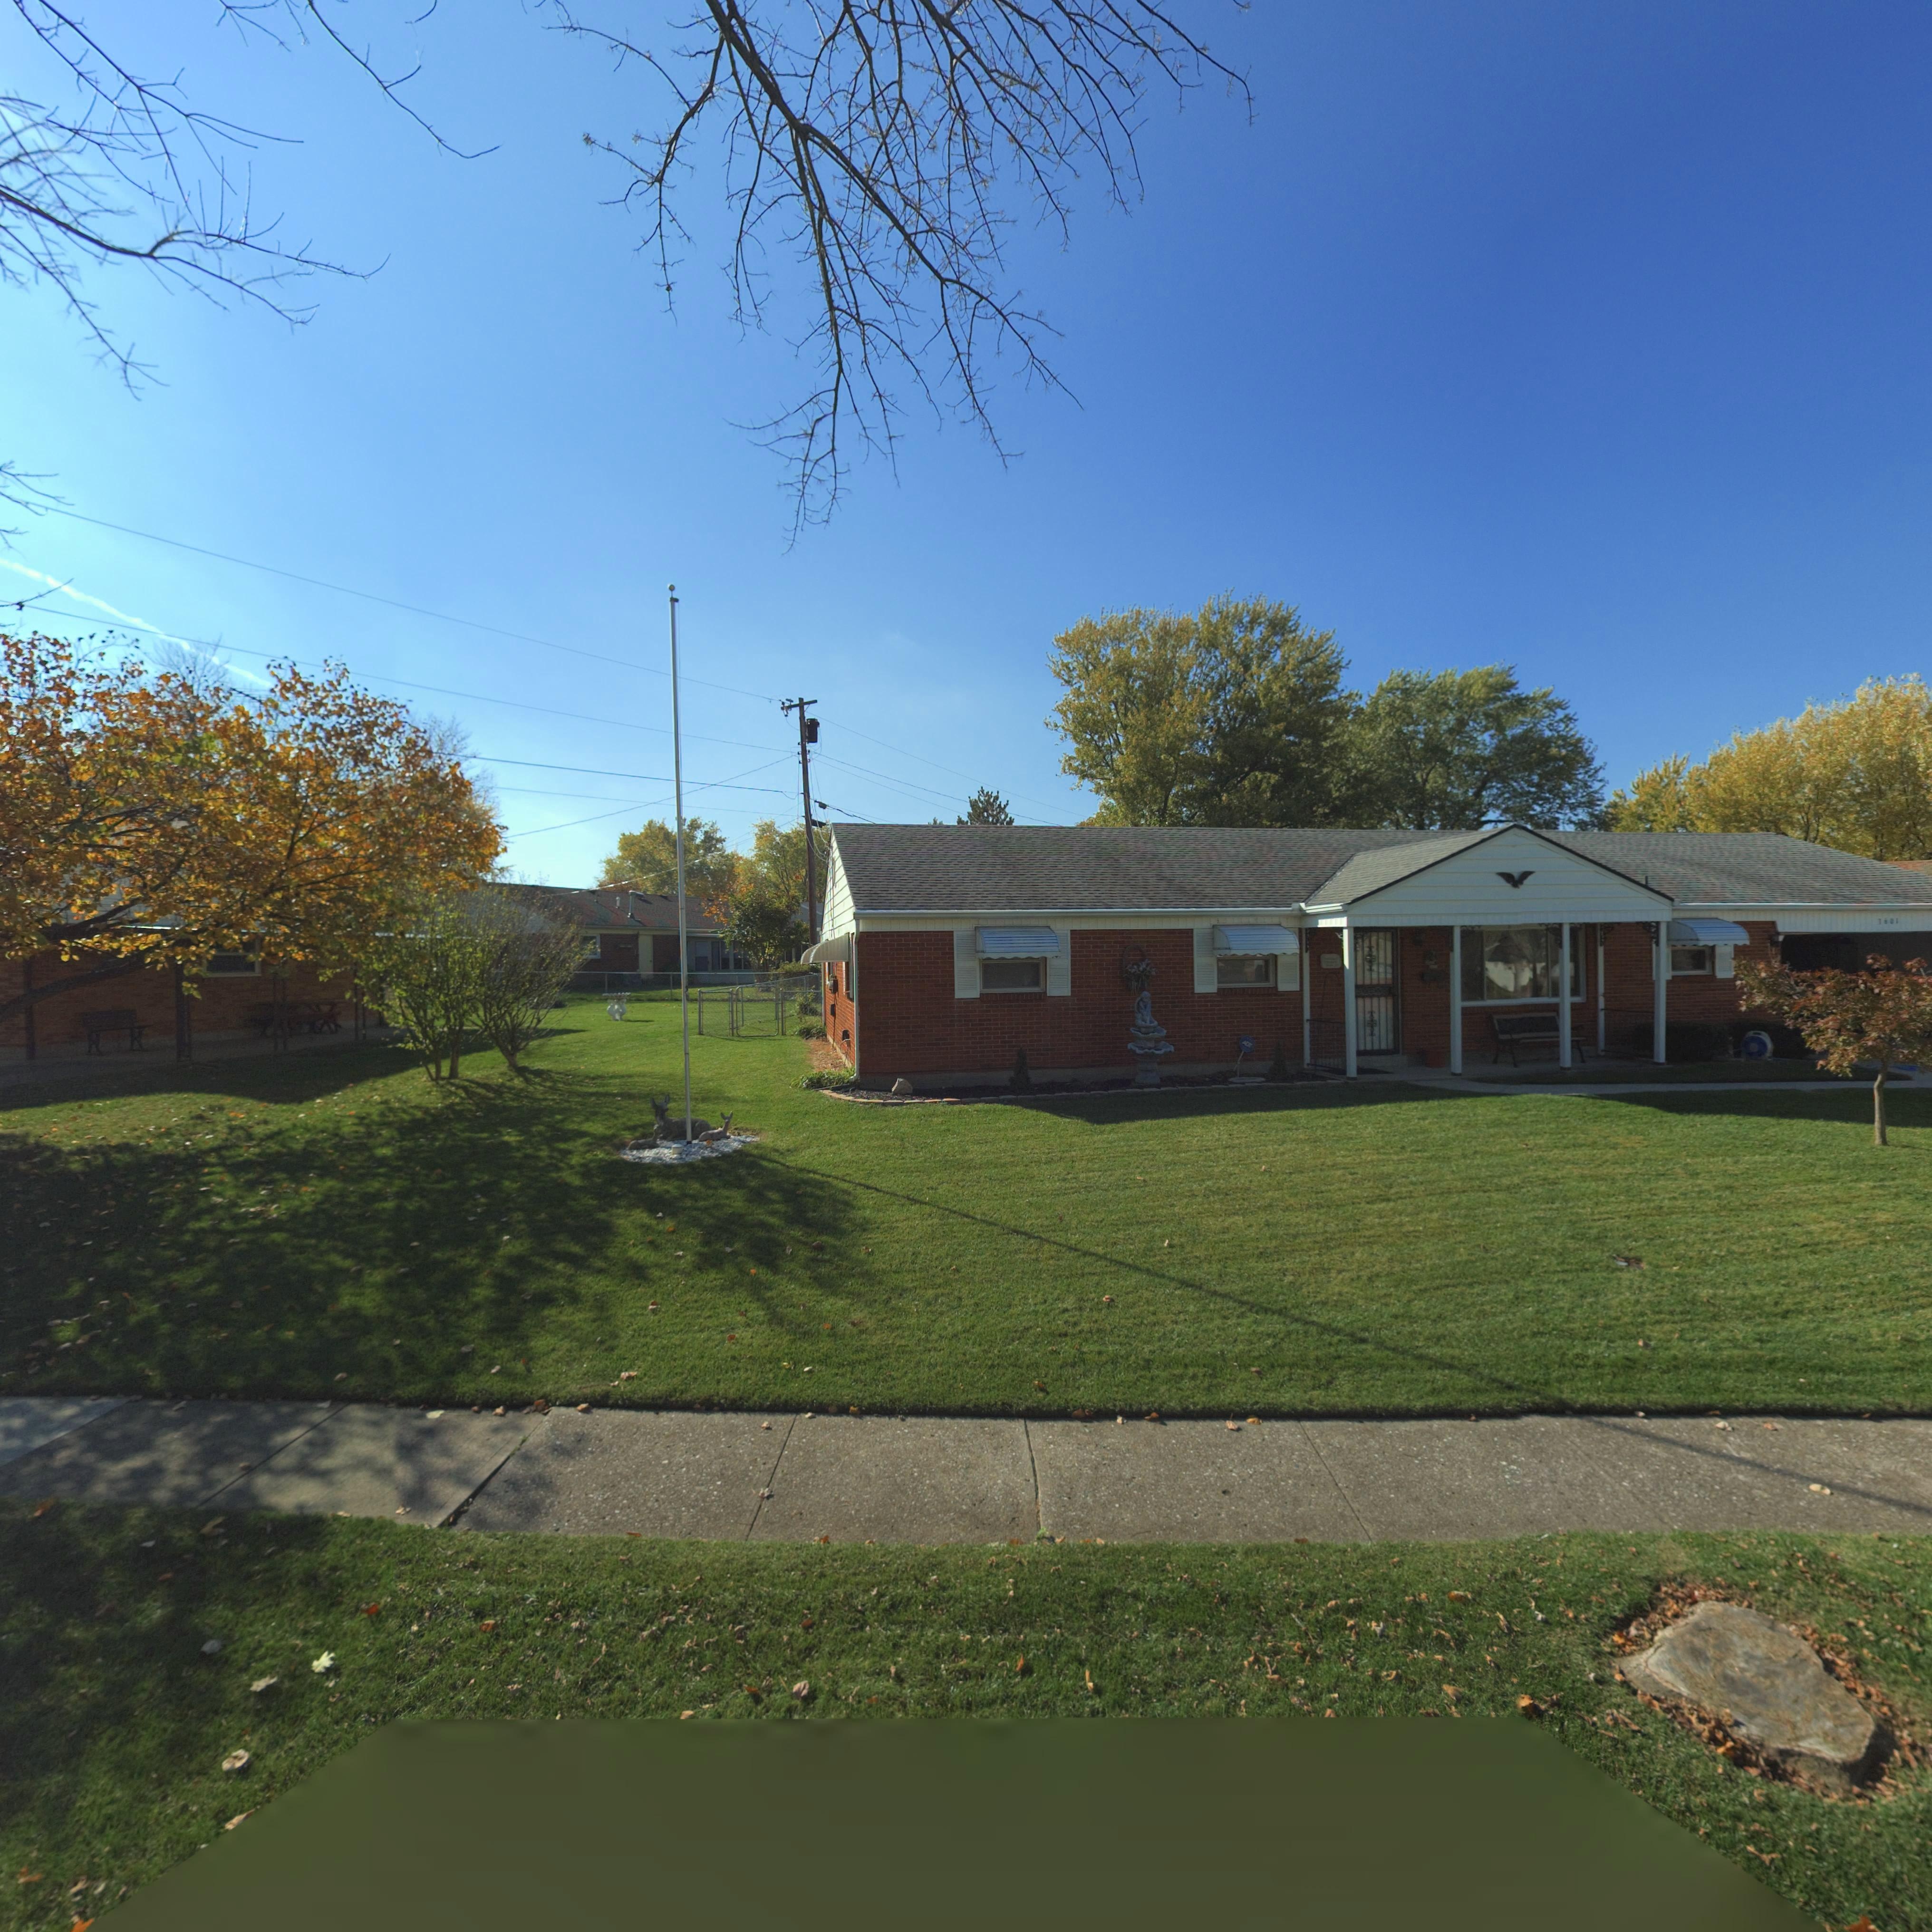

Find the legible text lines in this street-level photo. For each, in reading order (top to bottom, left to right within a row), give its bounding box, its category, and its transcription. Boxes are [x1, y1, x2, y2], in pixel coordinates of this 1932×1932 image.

[1876, 916, 1901, 927] StreetNumber: 3601
[1241, 1039, 1254, 1049] None: ADT